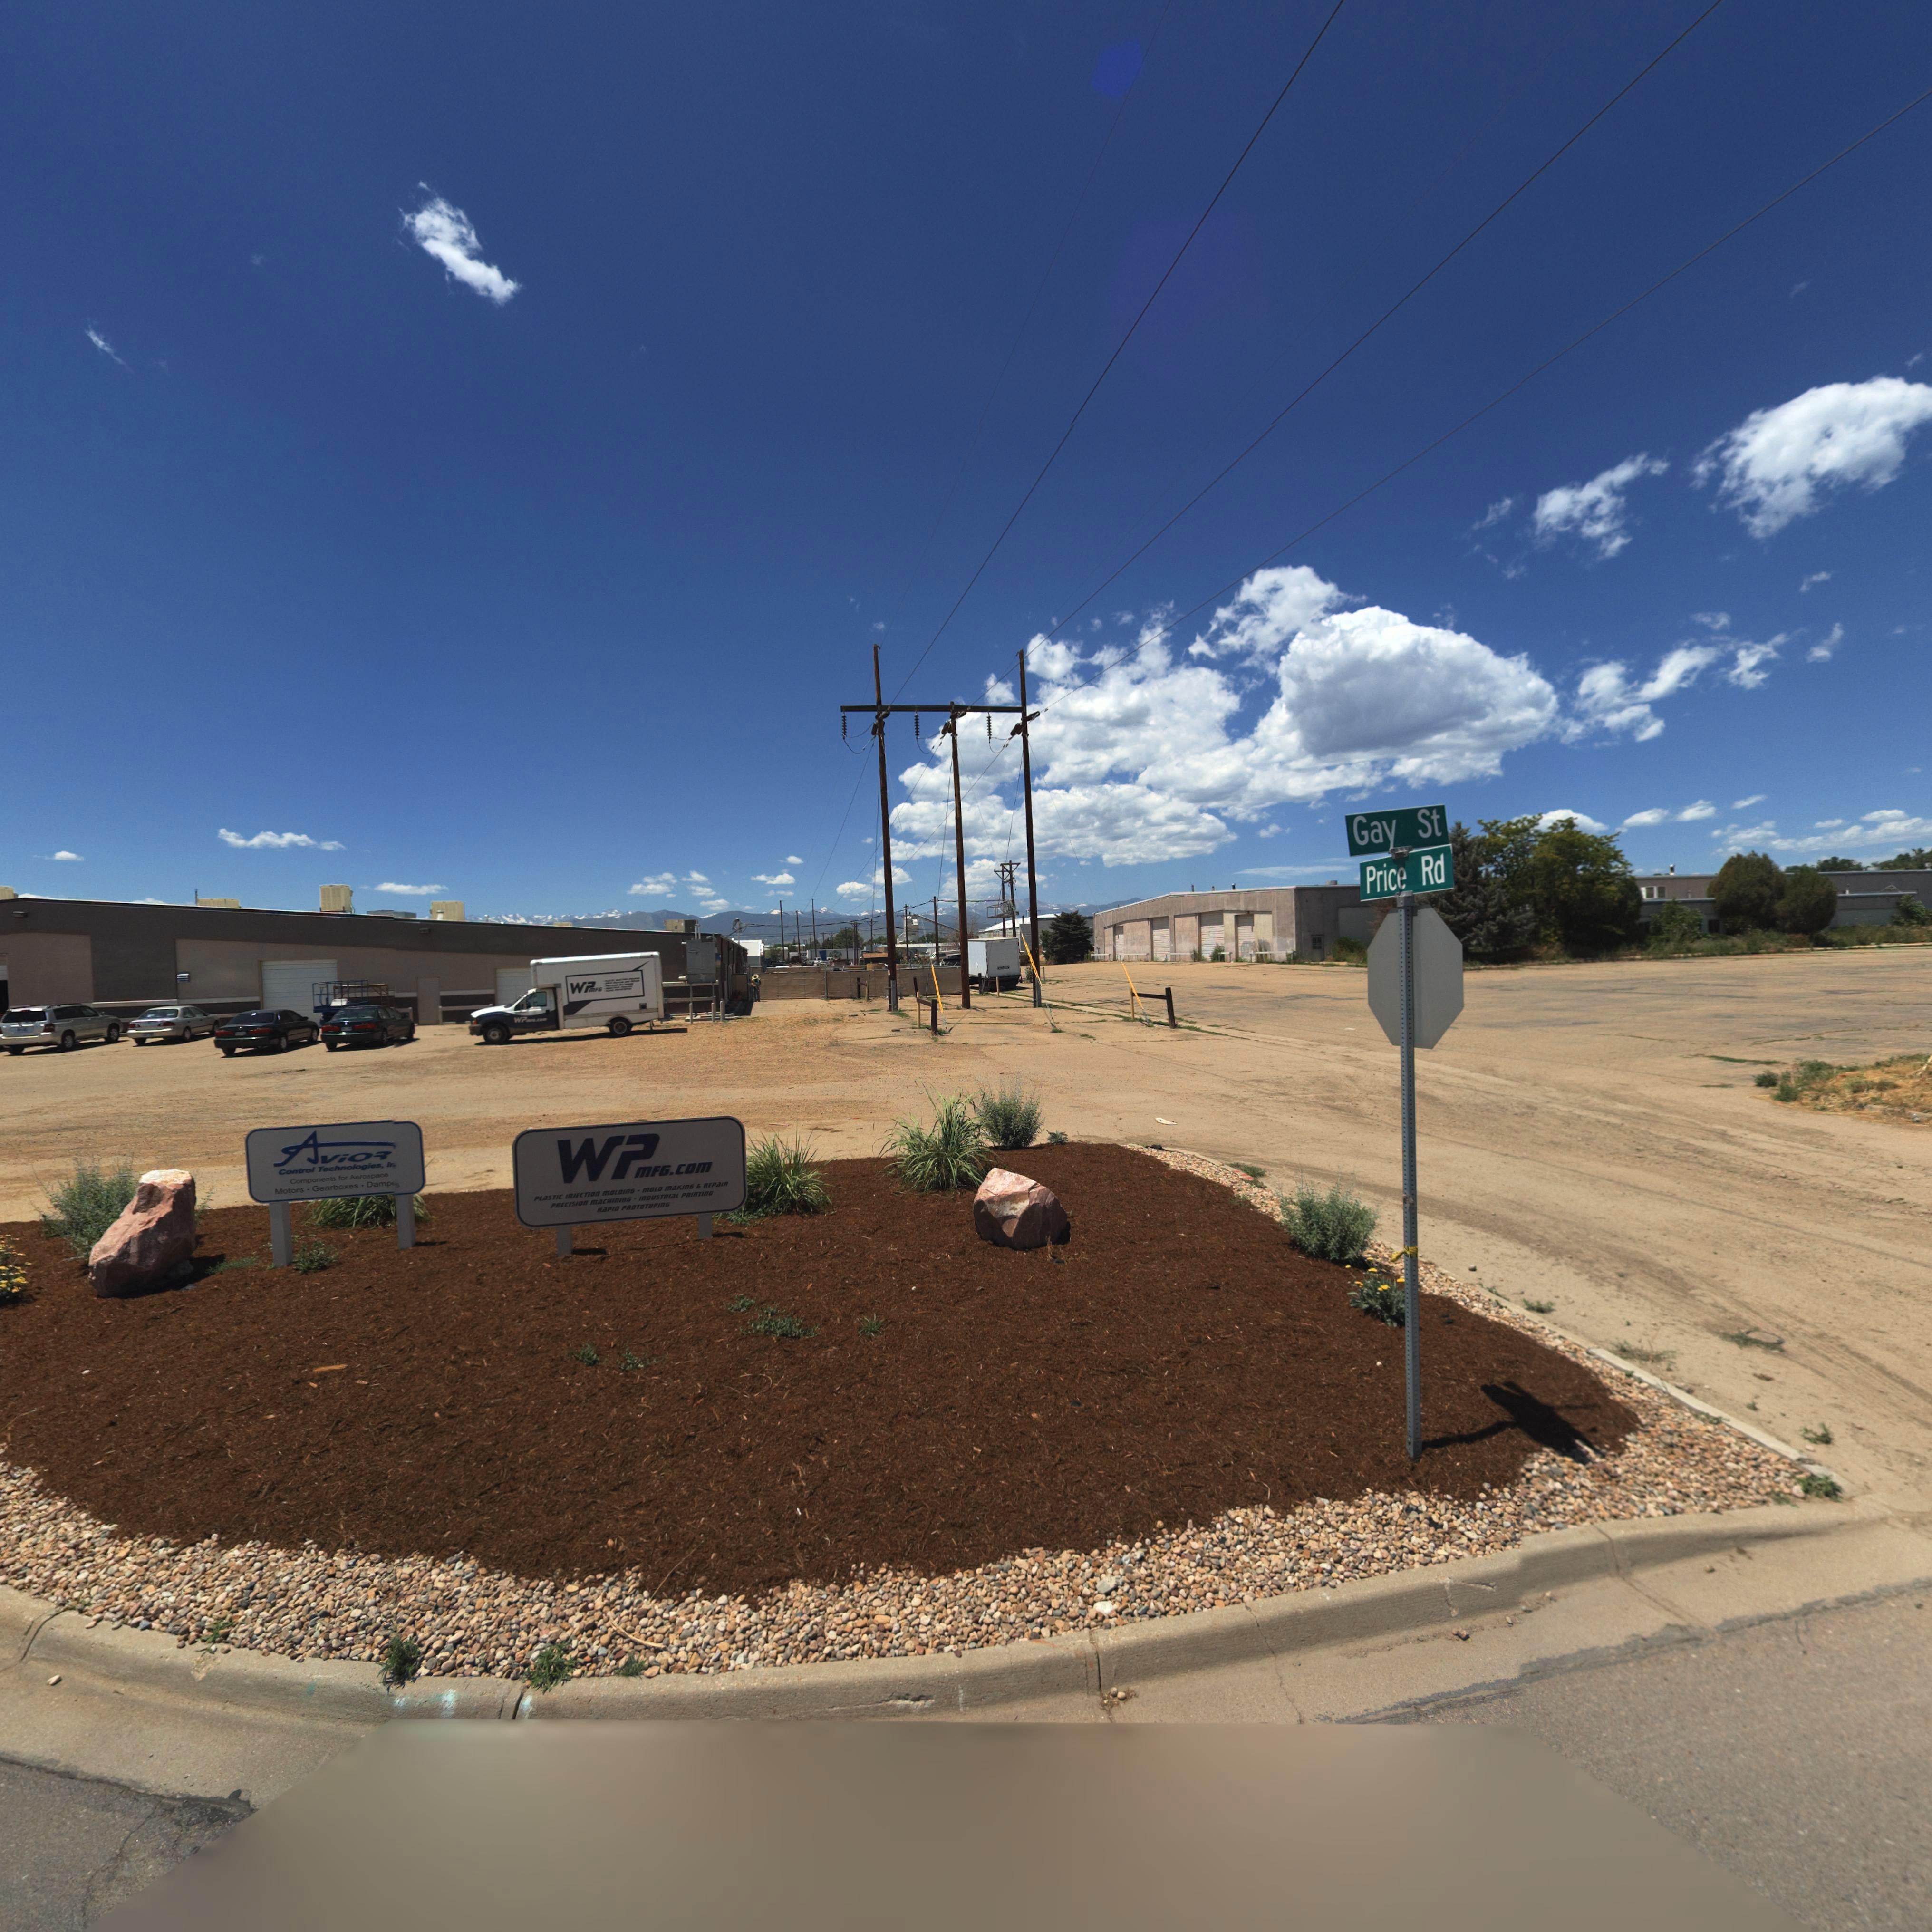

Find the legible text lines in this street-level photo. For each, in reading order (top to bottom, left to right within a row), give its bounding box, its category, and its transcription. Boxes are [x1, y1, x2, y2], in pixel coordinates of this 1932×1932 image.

[1352, 808, 1442, 851] StreetName: Gay St
[1366, 852, 1445, 894] StreetName: Price Rd
[272, 1130, 319, 1167] BusinessName: A
[278, 1161, 395, 1175] BusinessName: Control Technologies. I*
[320, 1150, 393, 1164] BusinessName: vio*